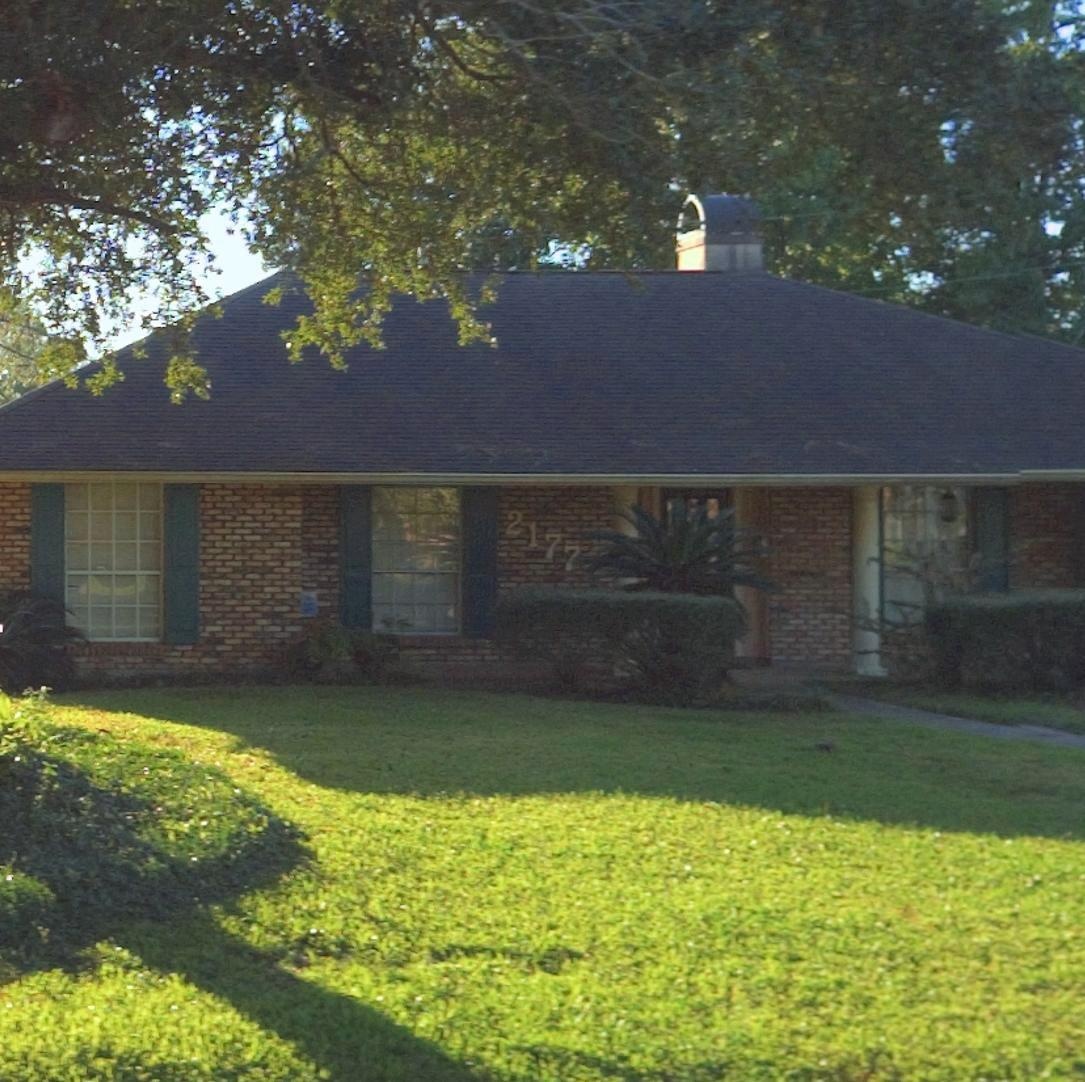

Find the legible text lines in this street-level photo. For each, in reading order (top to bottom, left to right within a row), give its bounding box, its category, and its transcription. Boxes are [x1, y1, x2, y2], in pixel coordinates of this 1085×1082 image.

[502, 509, 585, 576] StreetNumber: 2177